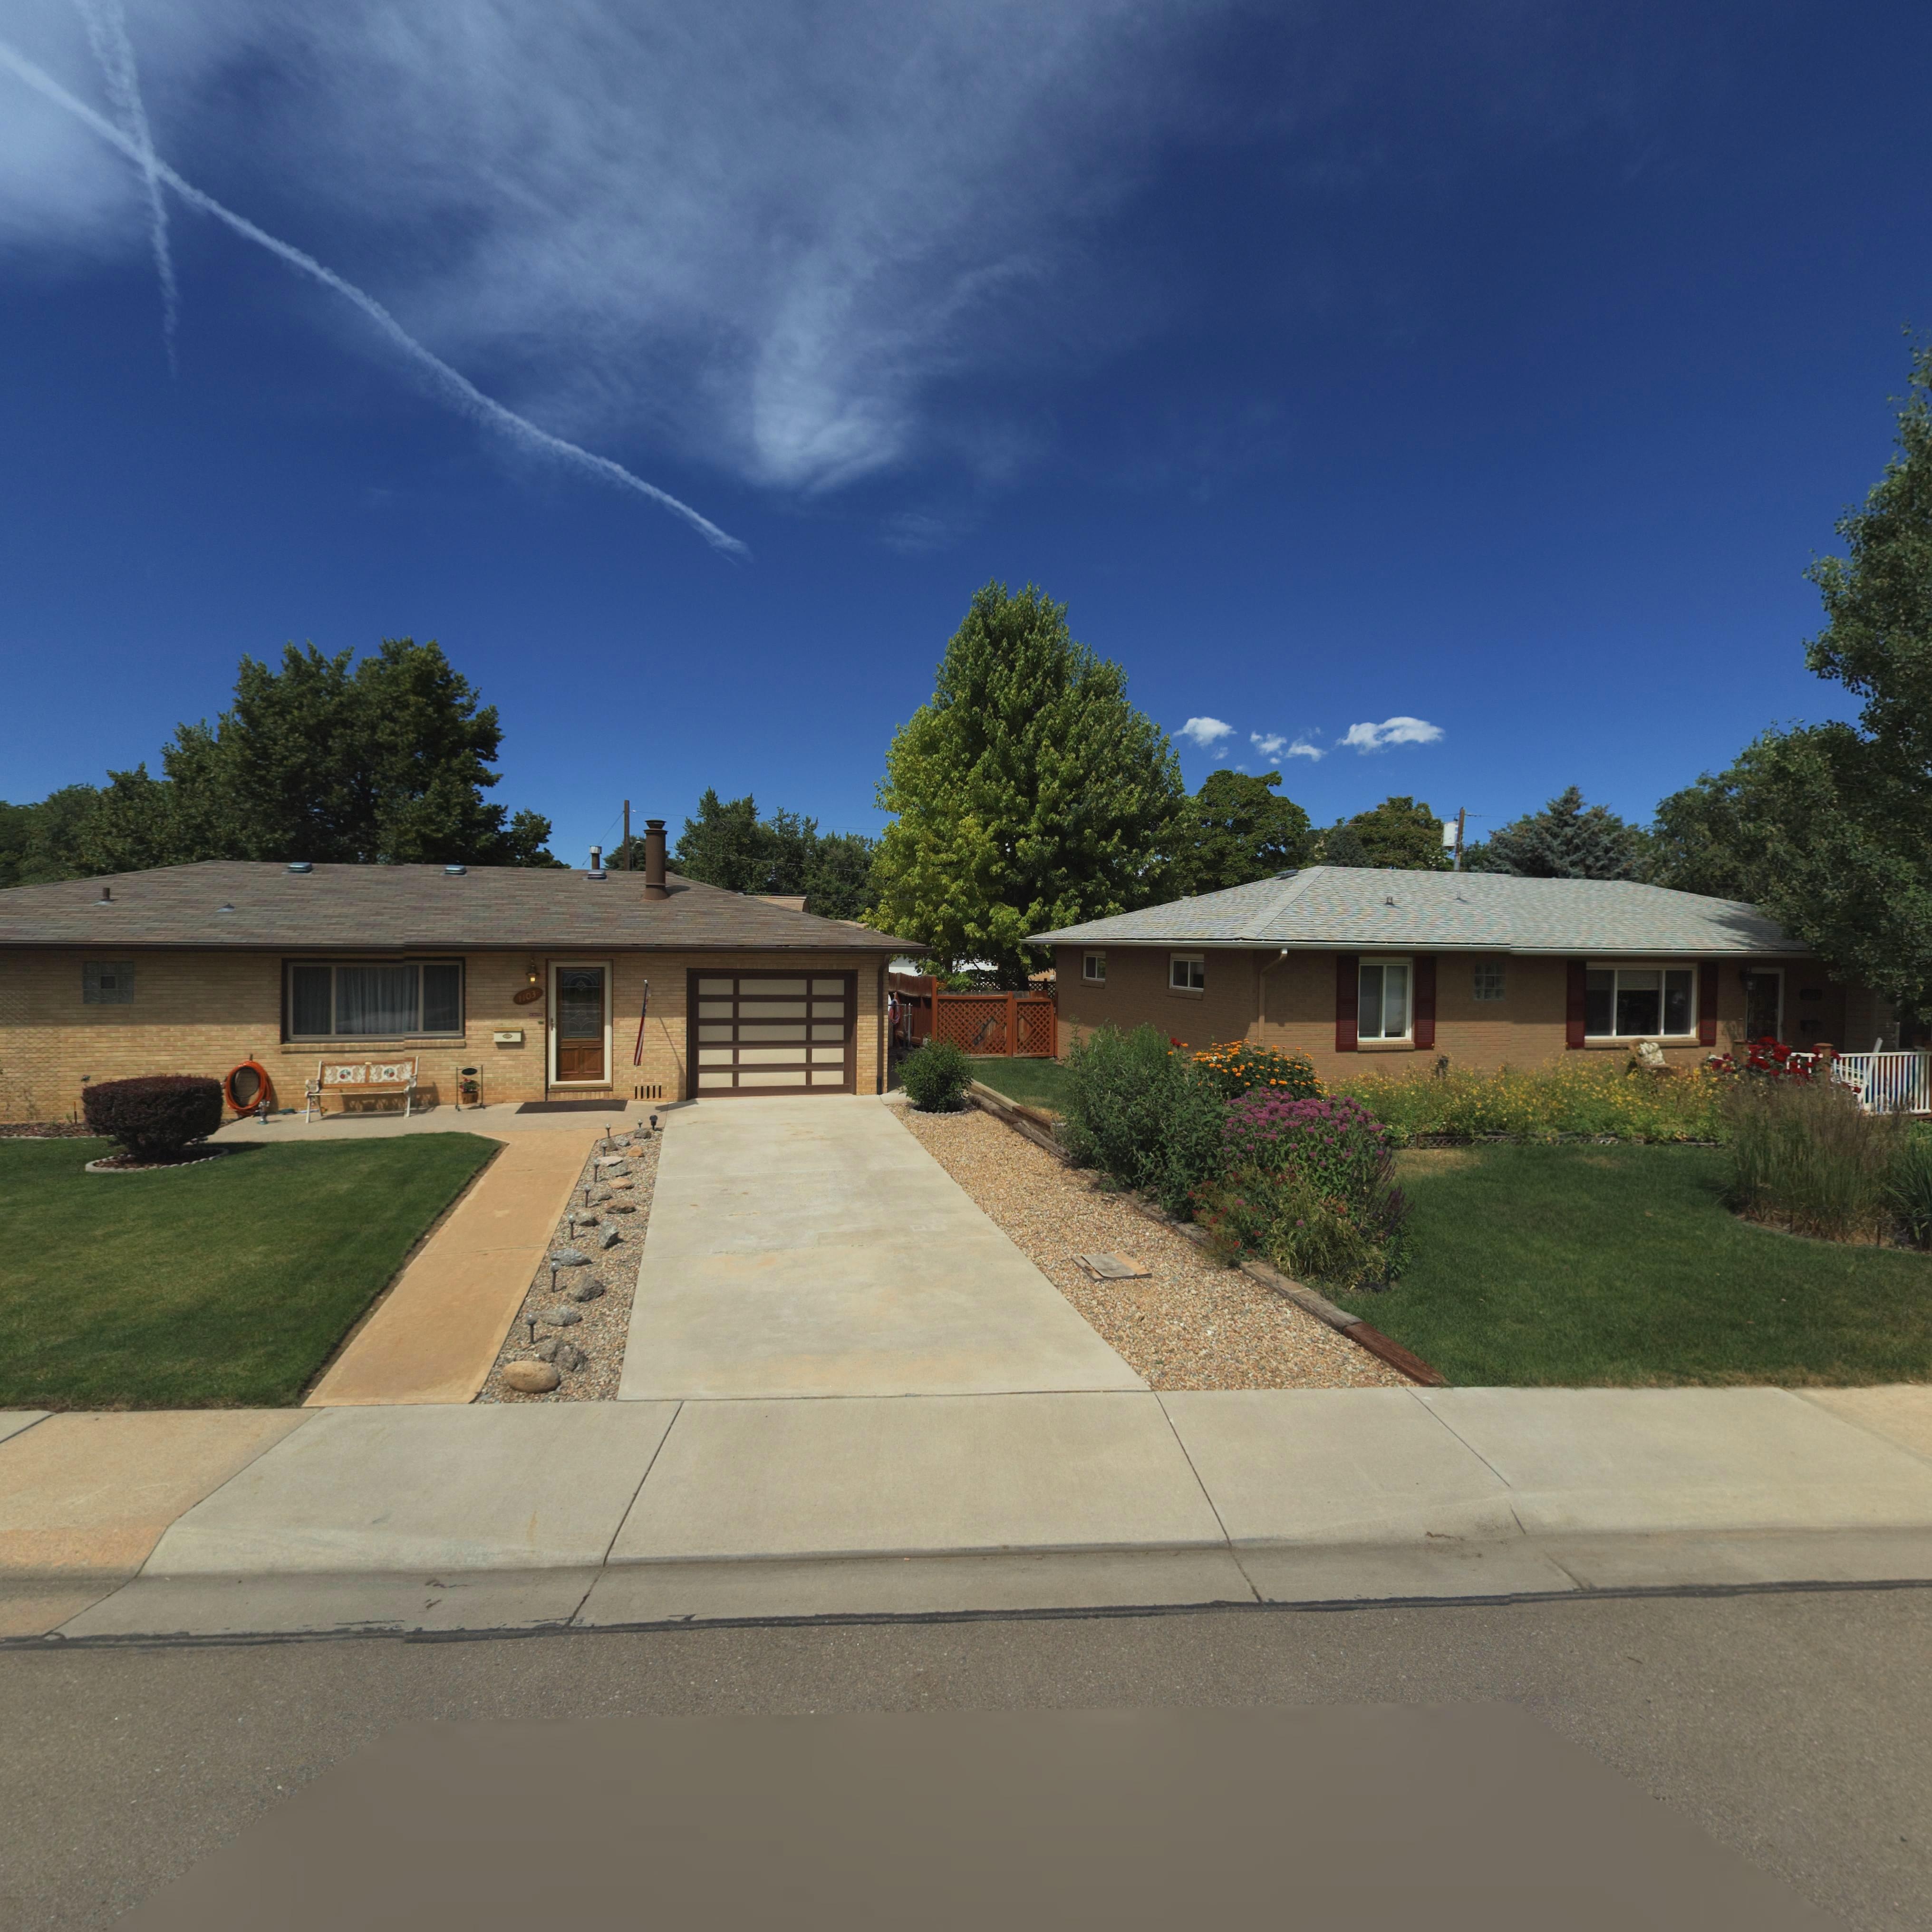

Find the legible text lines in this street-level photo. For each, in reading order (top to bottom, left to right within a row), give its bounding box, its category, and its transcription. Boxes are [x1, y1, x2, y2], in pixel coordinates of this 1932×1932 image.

[518, 990, 536, 1003] StreetNumber: 1103